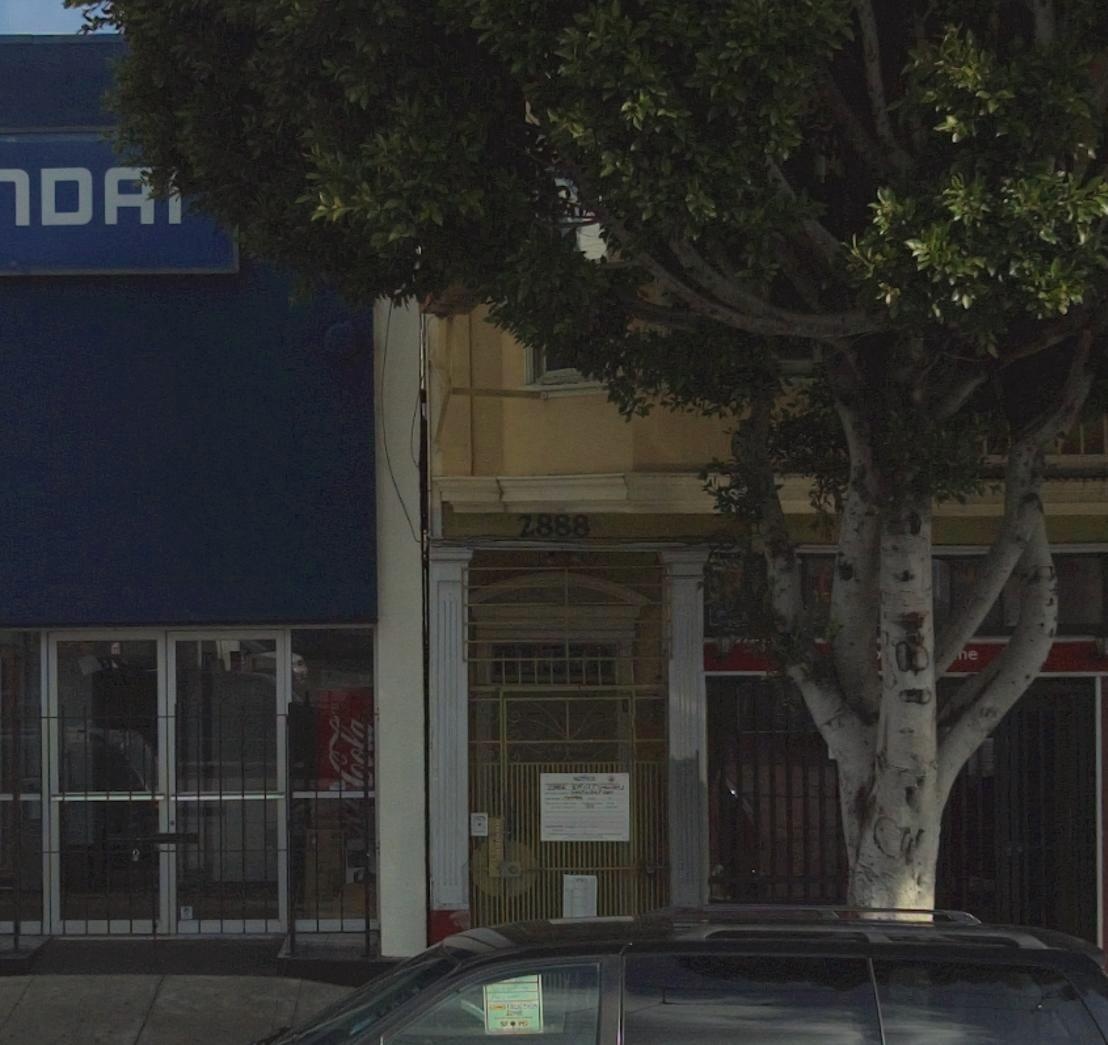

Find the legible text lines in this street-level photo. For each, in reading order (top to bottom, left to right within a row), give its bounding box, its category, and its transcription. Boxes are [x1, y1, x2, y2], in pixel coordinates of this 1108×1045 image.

[38, 165, 157, 225] None: DA
[516, 513, 591, 538] StreetNumber: 2888
[967, 650, 978, 660] None: e